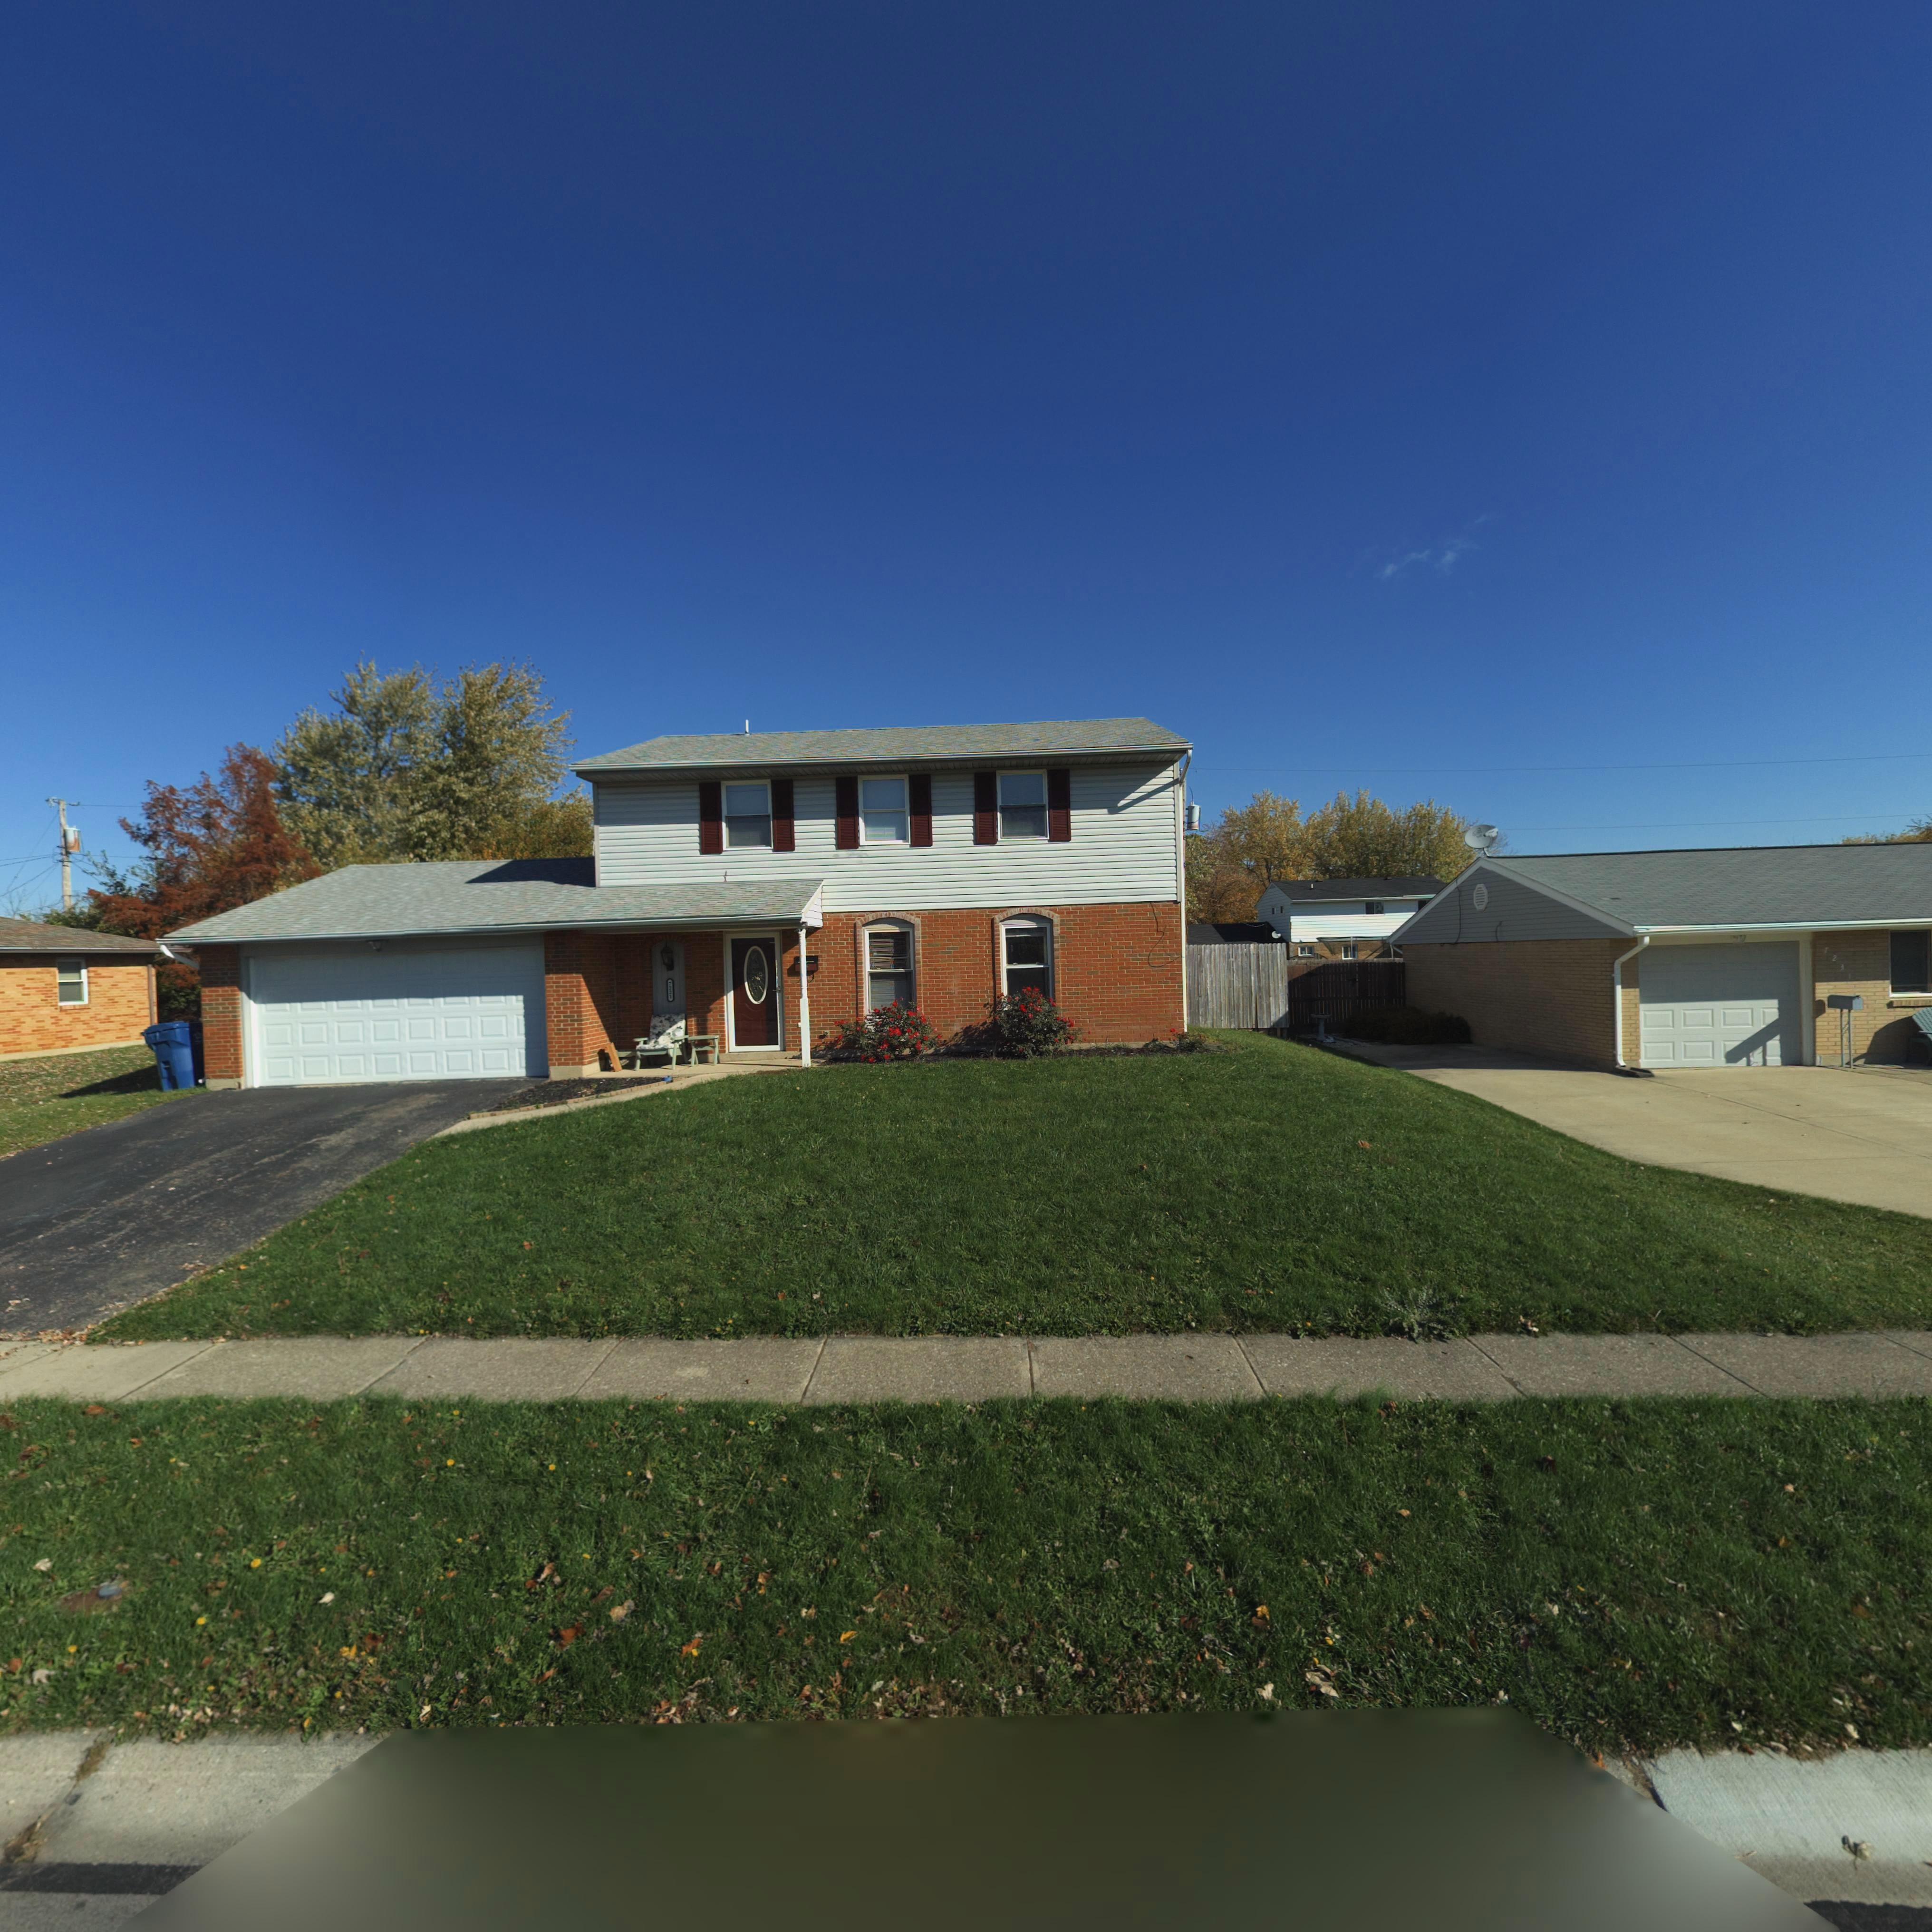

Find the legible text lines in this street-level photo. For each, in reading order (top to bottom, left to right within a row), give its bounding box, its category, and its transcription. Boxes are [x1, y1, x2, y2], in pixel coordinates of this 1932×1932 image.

[1822, 946, 1853, 982] StreetNumber: *2**
[667, 980, 673, 1000] StreetNumber: 7*21